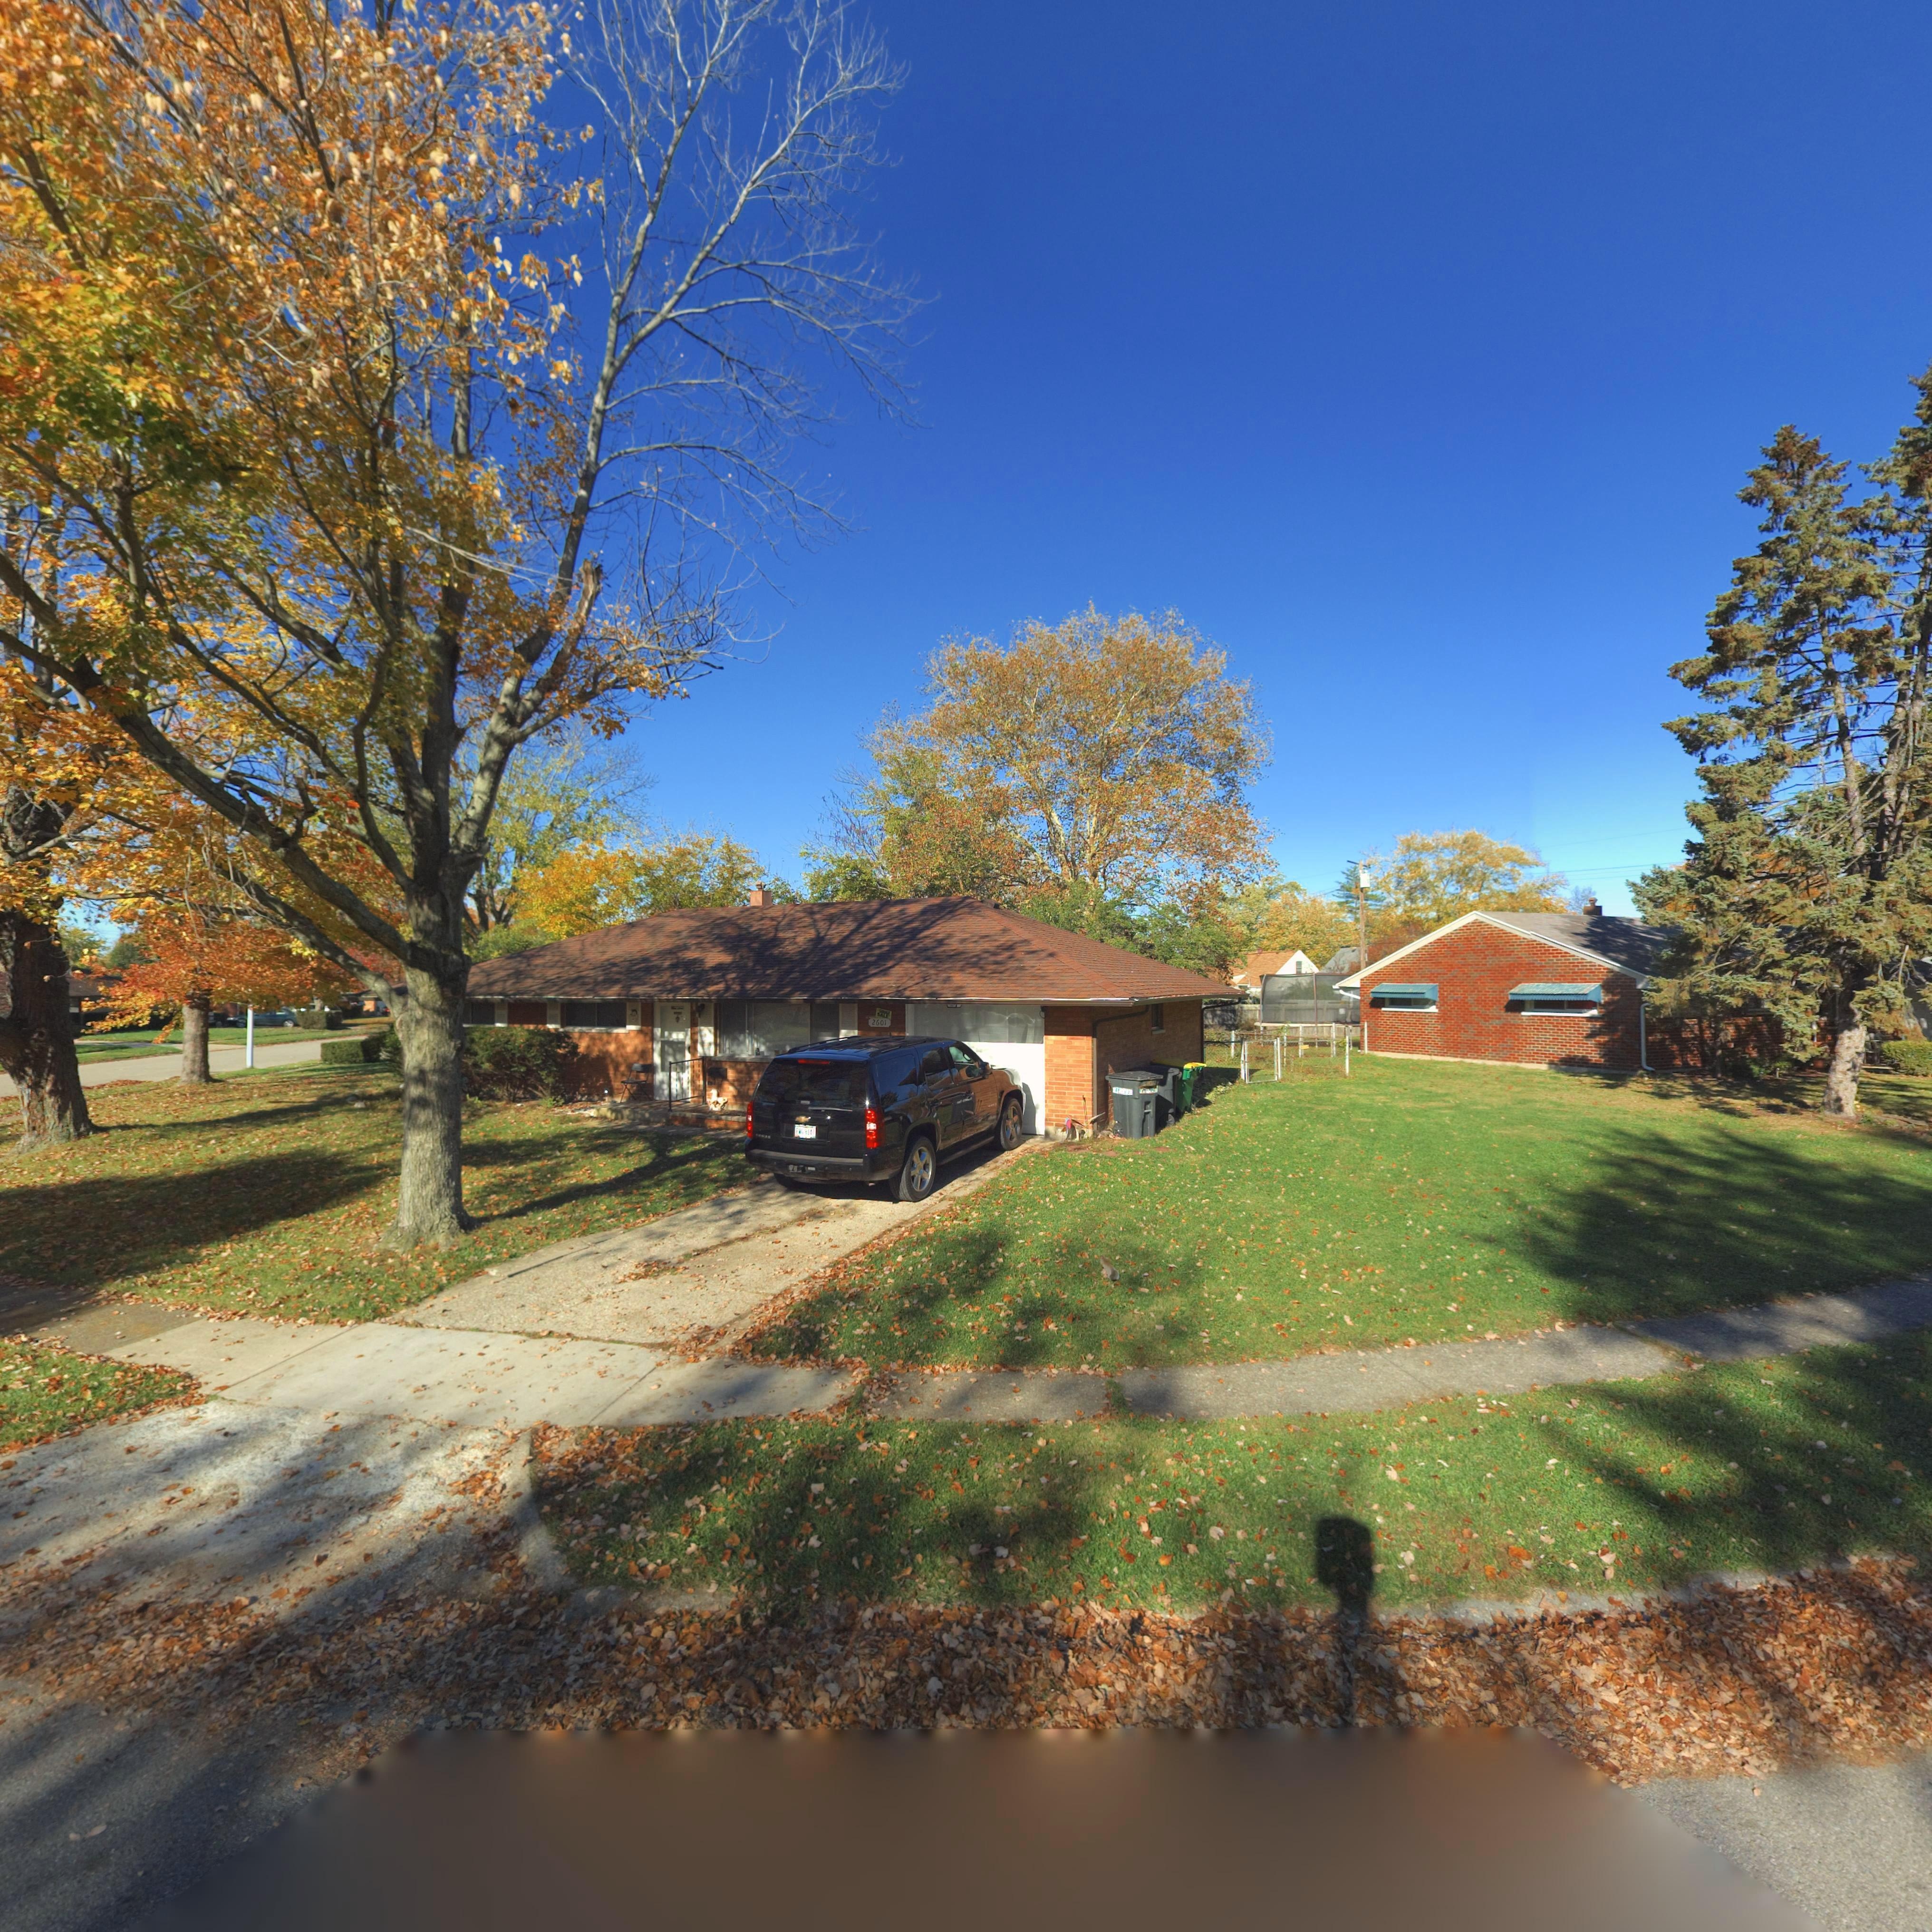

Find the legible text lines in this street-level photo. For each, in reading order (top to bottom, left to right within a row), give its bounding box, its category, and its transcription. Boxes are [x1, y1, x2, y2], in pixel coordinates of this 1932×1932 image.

[871, 1018, 887, 1026] StreetNumber: 2601